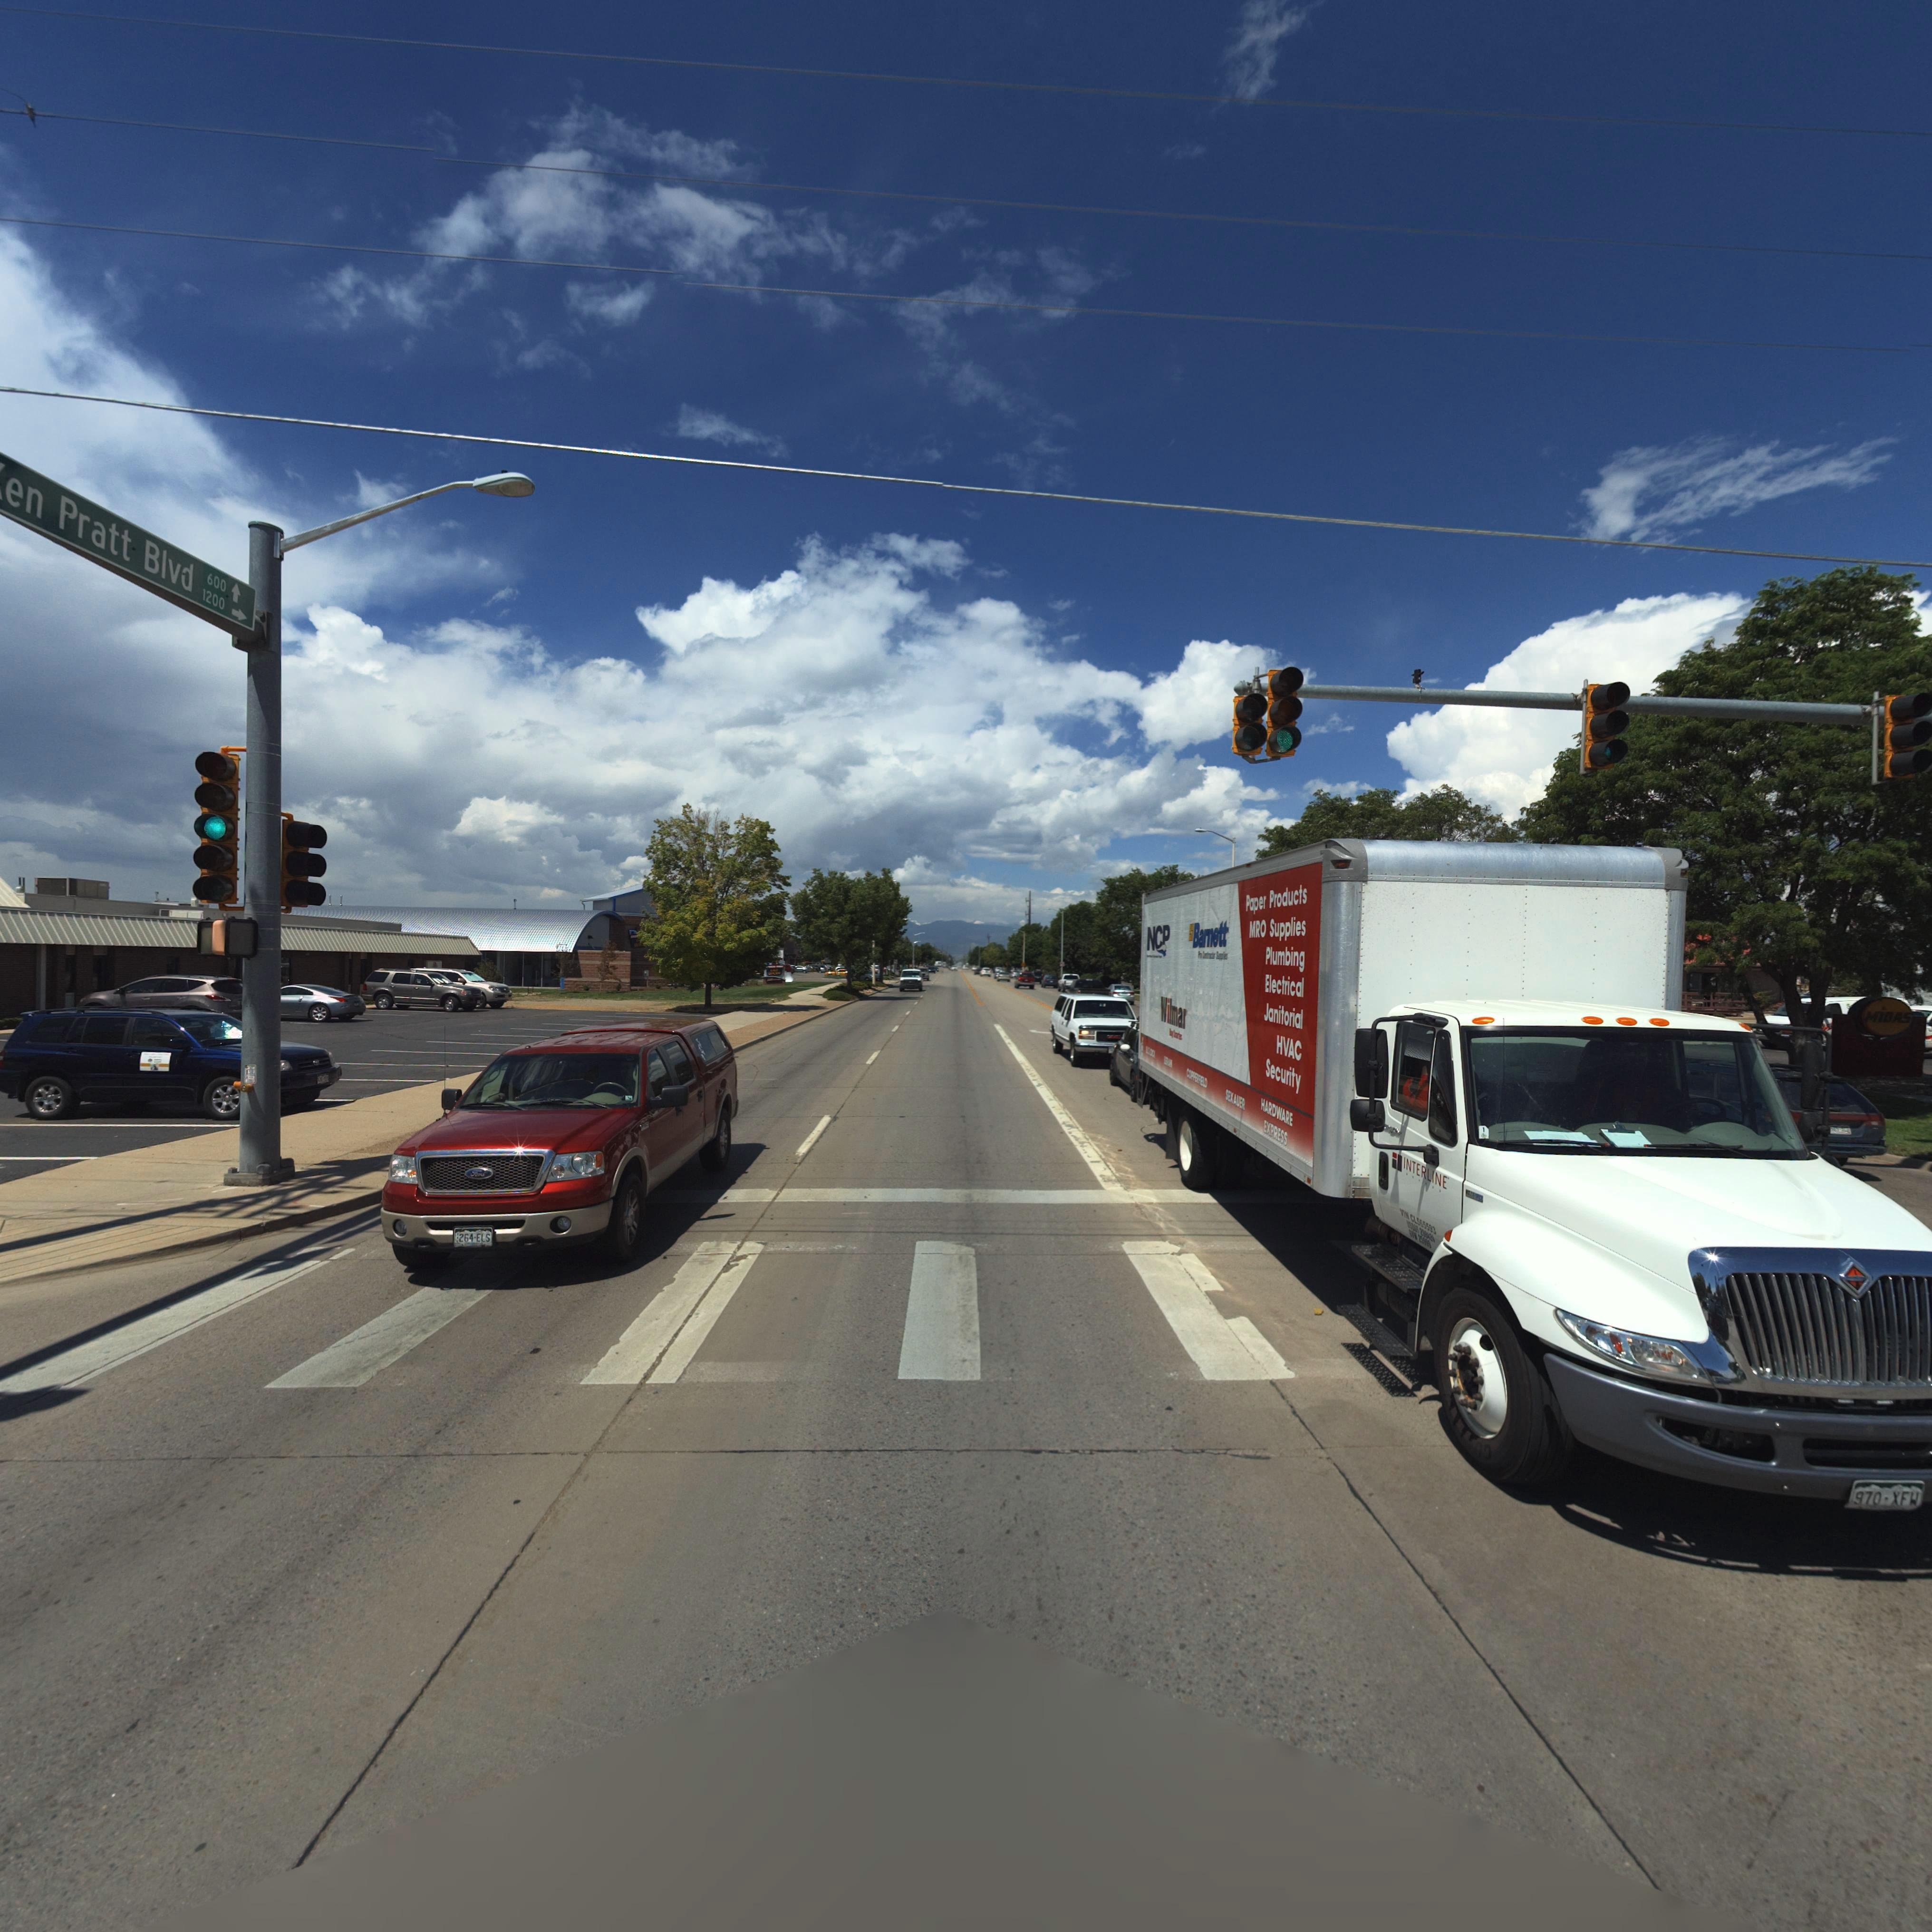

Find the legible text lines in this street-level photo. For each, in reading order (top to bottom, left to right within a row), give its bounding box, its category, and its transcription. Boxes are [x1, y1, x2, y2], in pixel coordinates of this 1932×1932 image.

[4, 476, 195, 595] StreetName: en Pratt Blvd
[206, 573, 227, 592] StreetNumberRange: 600
[202, 588, 248, 621] StreetNumberRange: 1200->
[1864, 1005, 1913, 1024] BusinessName: MiDAS